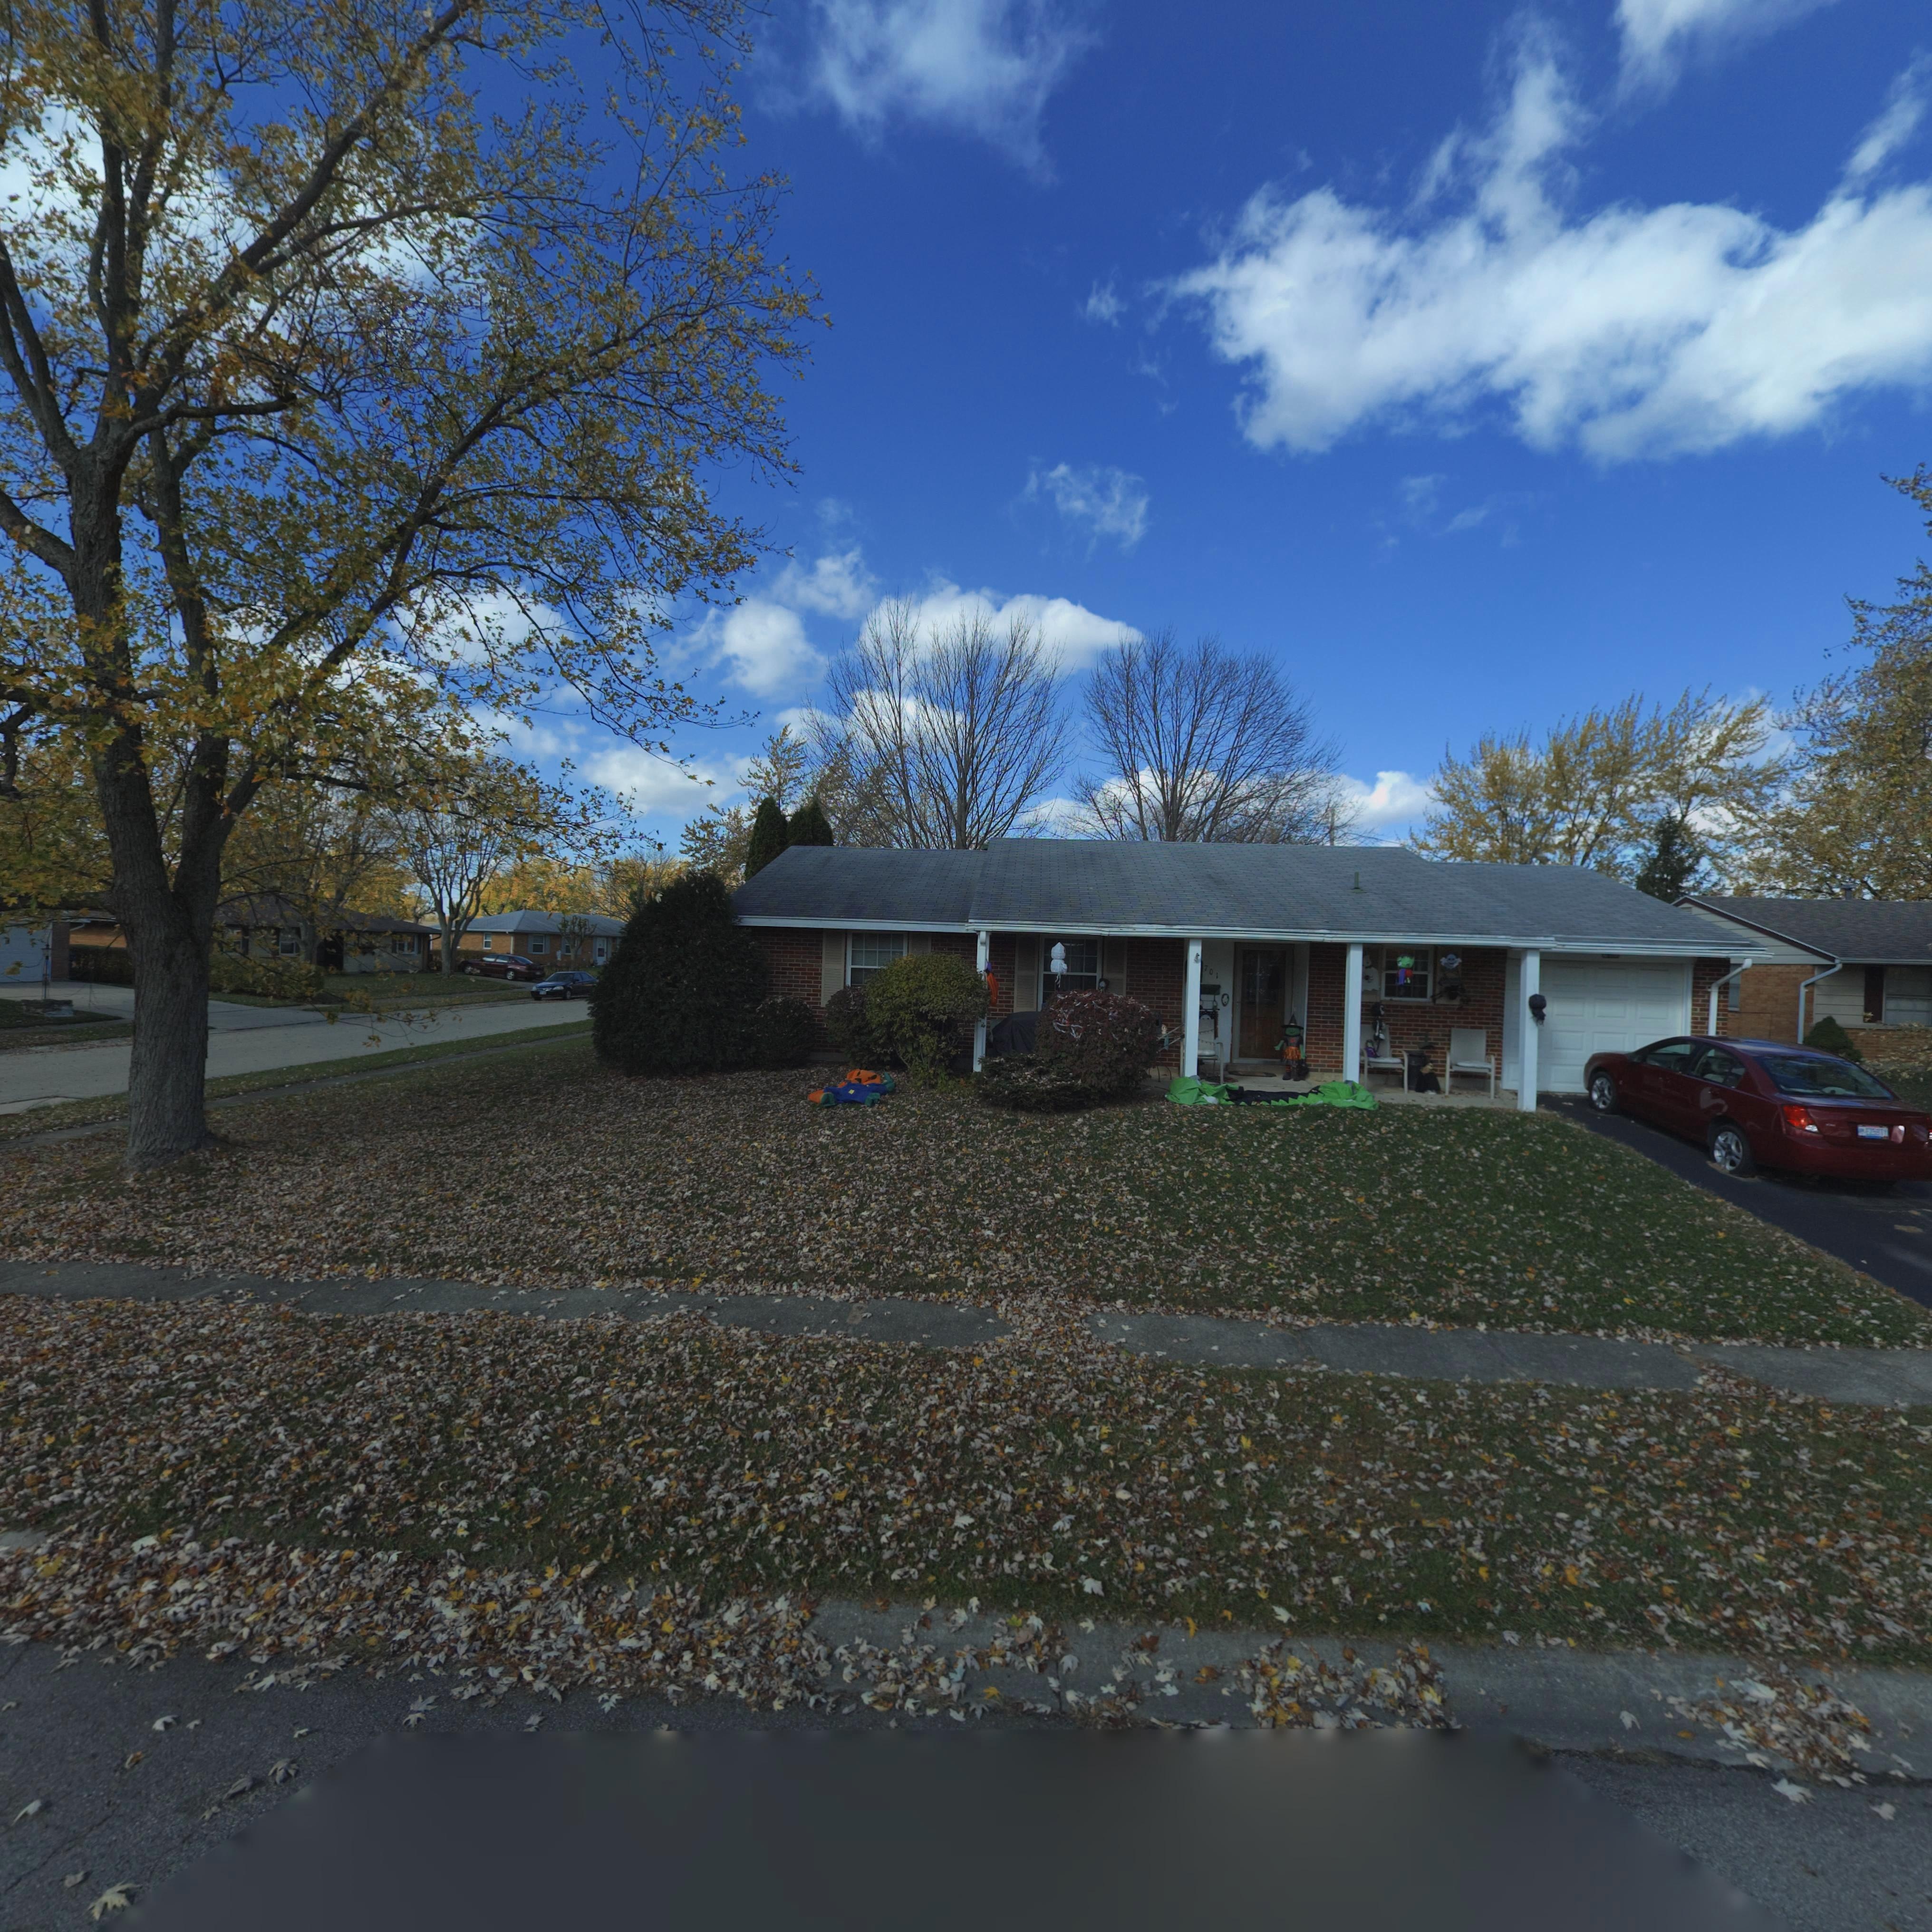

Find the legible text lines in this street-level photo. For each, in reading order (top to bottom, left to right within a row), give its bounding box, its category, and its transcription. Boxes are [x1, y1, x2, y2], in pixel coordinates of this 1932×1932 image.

[1204, 964, 1219, 980] StreetNumber: 701